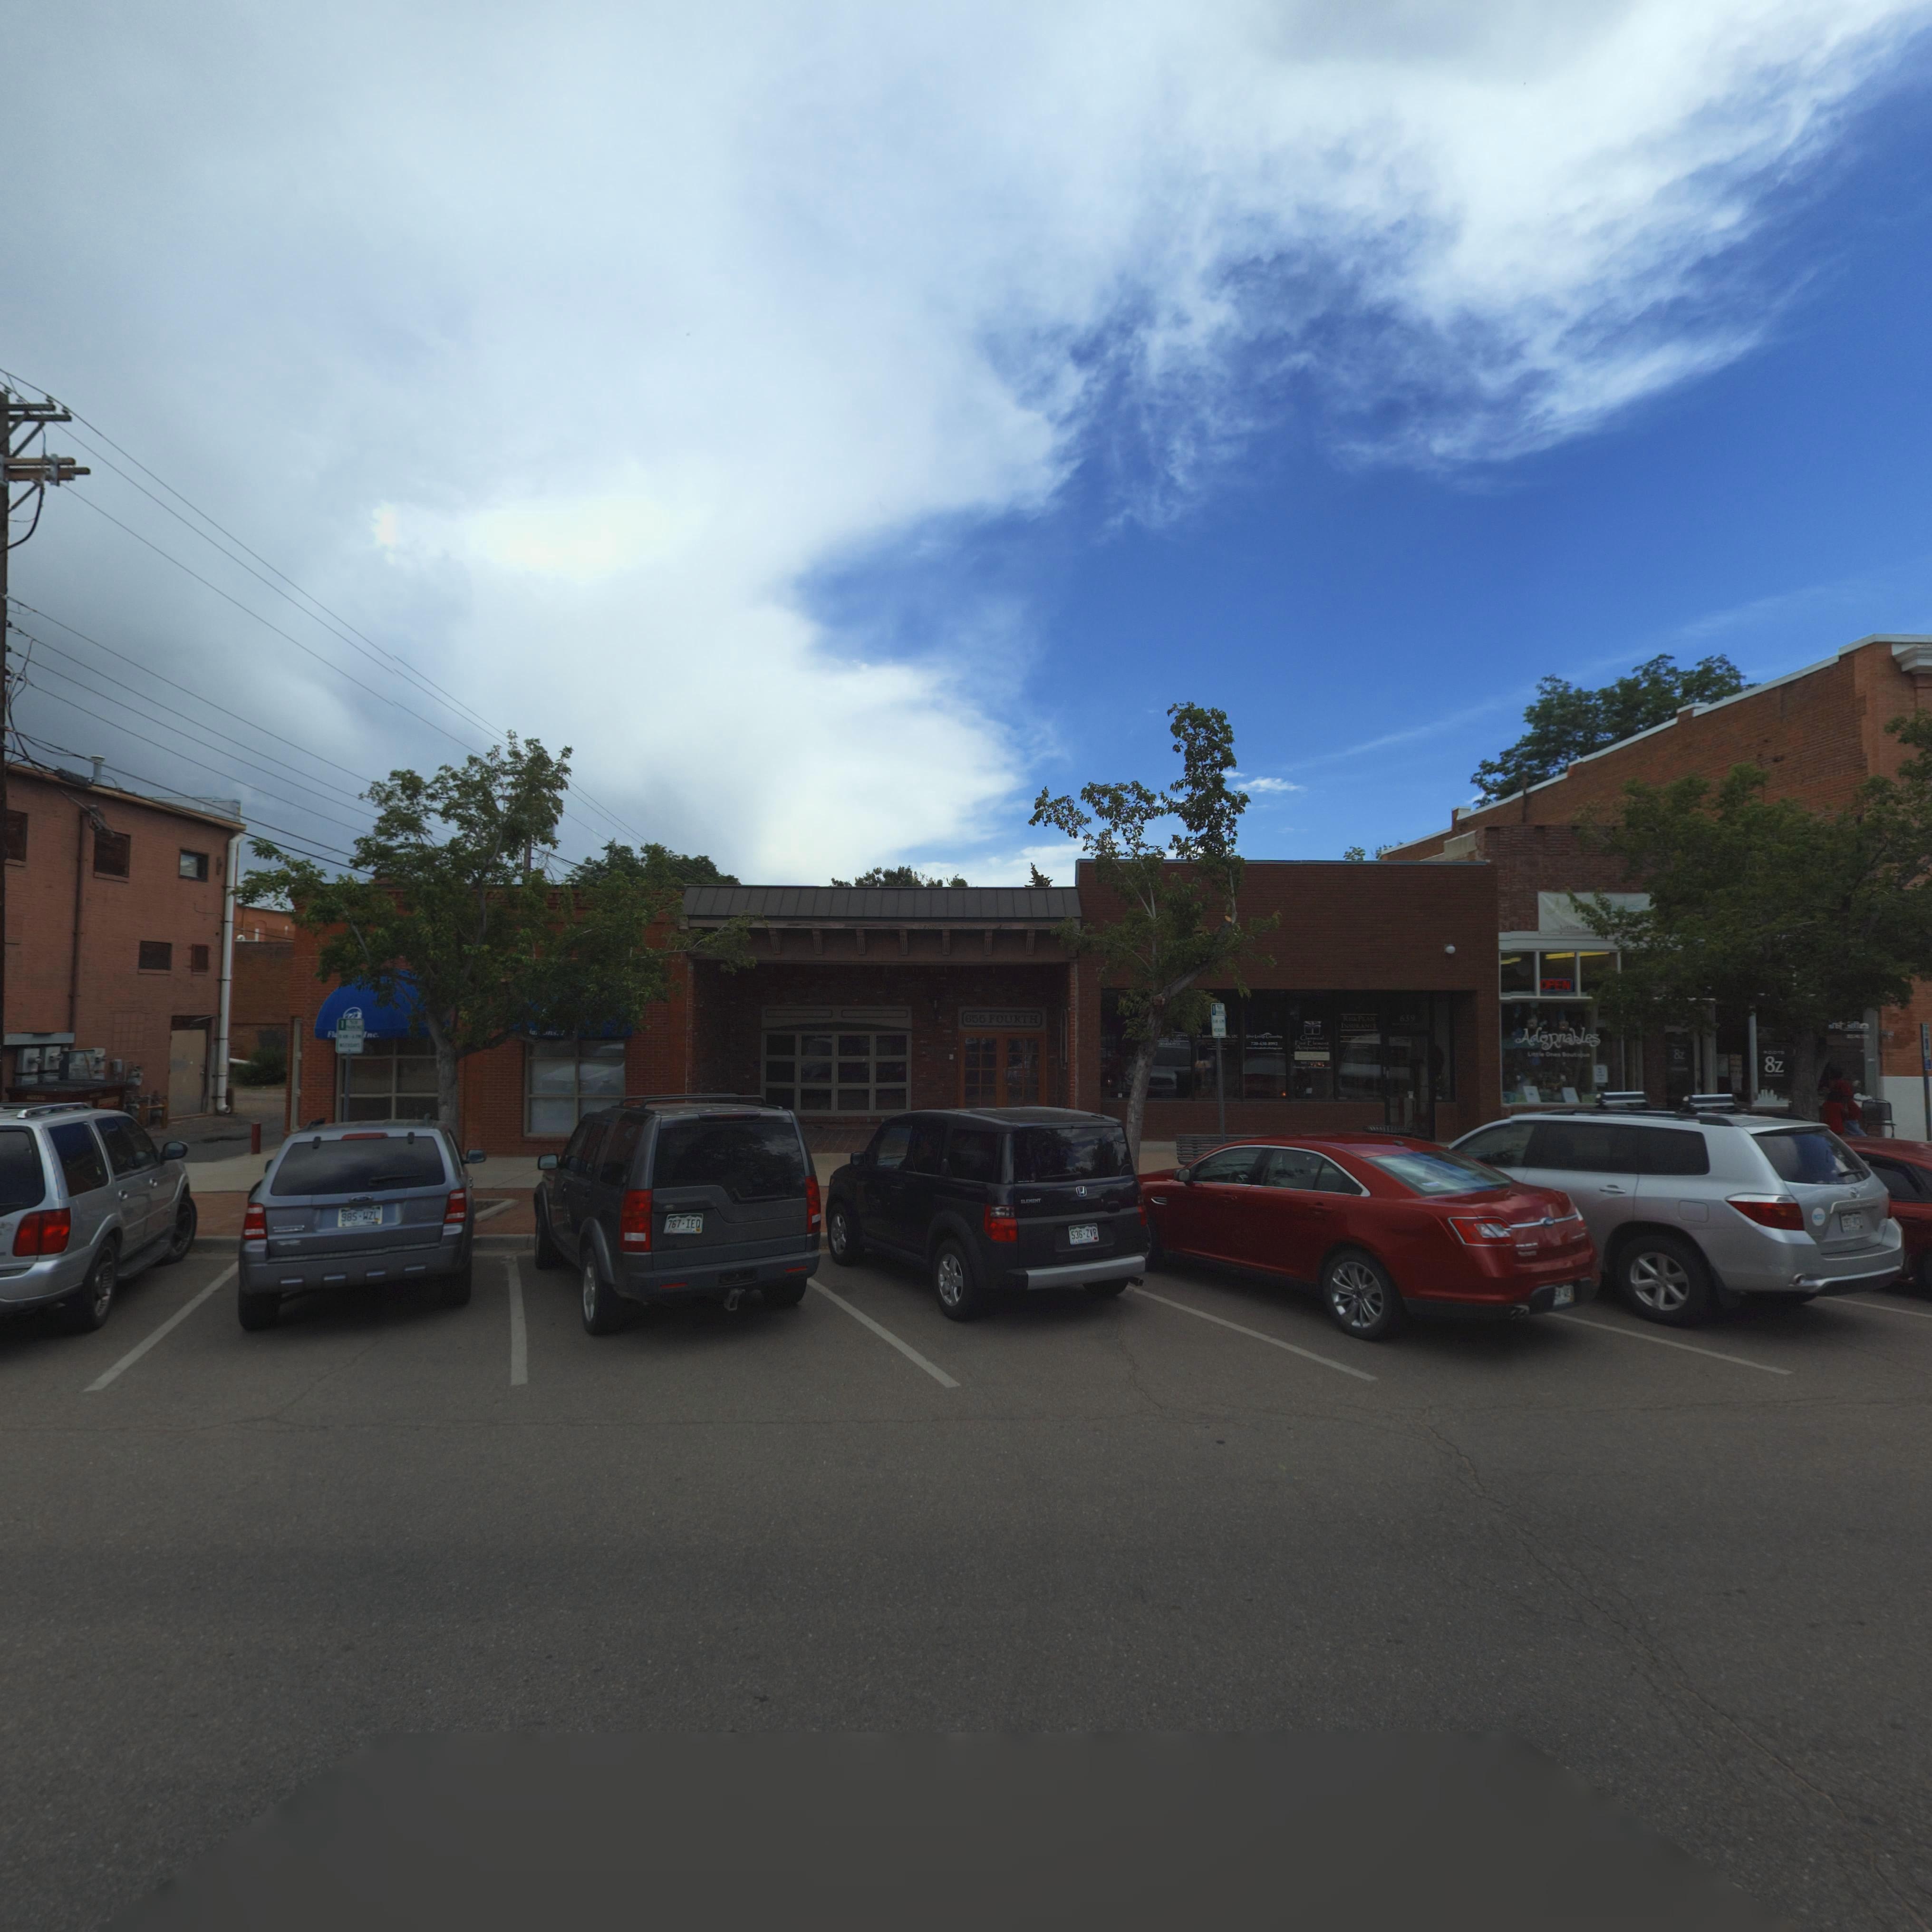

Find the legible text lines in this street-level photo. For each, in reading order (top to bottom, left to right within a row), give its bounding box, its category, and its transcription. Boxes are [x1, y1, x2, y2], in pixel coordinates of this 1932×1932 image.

[1544, 897, 1575, 917] BusinessName: A*
[1560, 924, 1586, 930] None: Little *
[965, 1014, 985, 1023] StreetNumber: 655
[988, 1014, 1038, 1023] StreetName: FOURTH
[1399, 1014, 1415, 1022] StreetNumber: 659
[1341, 1023, 1377, 1028] BusinessName: INSURANC*
[328, 1030, 337, 1037] BusinessName: Fl*
[363, 1031, 379, 1038] BusinessName: Inc
[1246, 1034, 1283, 1039] BusinessName: S**** L******* C*********
[1515, 1026, 1601, 1050] BusinessName: AdoRnables
[1527, 1049, 1590, 1057] BusinessName: Little Ones B********